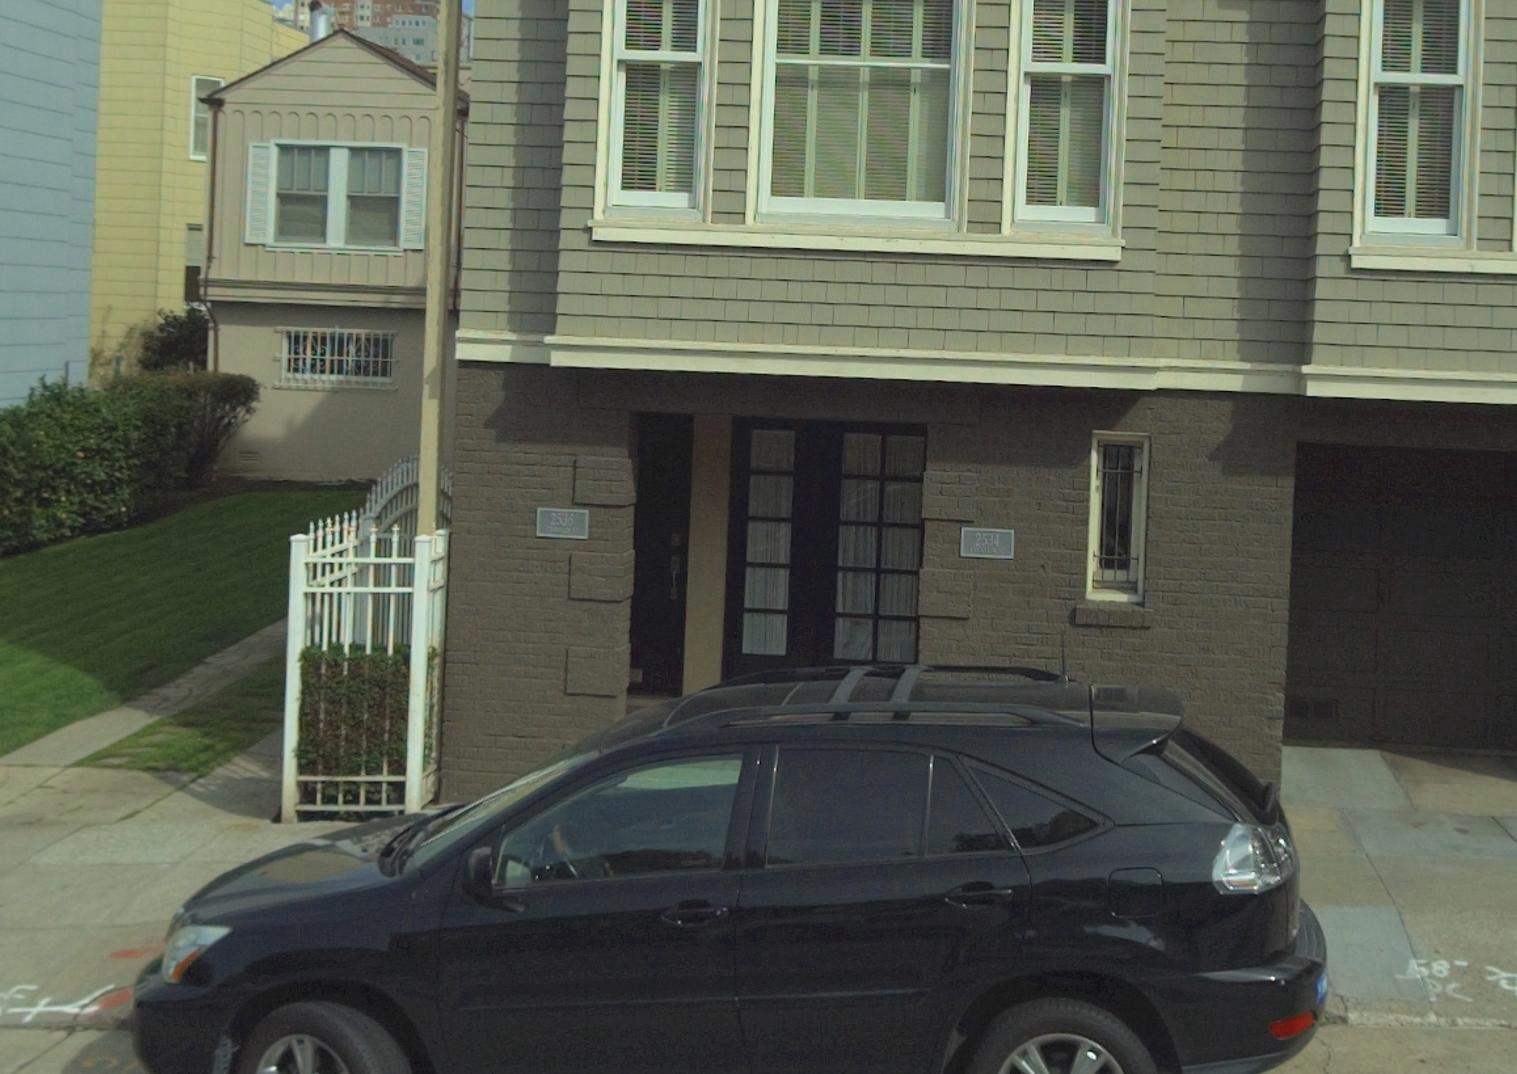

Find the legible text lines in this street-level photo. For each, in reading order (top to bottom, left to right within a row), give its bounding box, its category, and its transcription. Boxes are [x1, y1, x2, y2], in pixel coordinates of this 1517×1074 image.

[547, 510, 577, 528] StreetNumber: 2536
[972, 530, 1002, 550] StreetNumber: 2534
[1427, 955, 1455, 982] None: 8
[1420, 976, 1476, 1007] None: PC